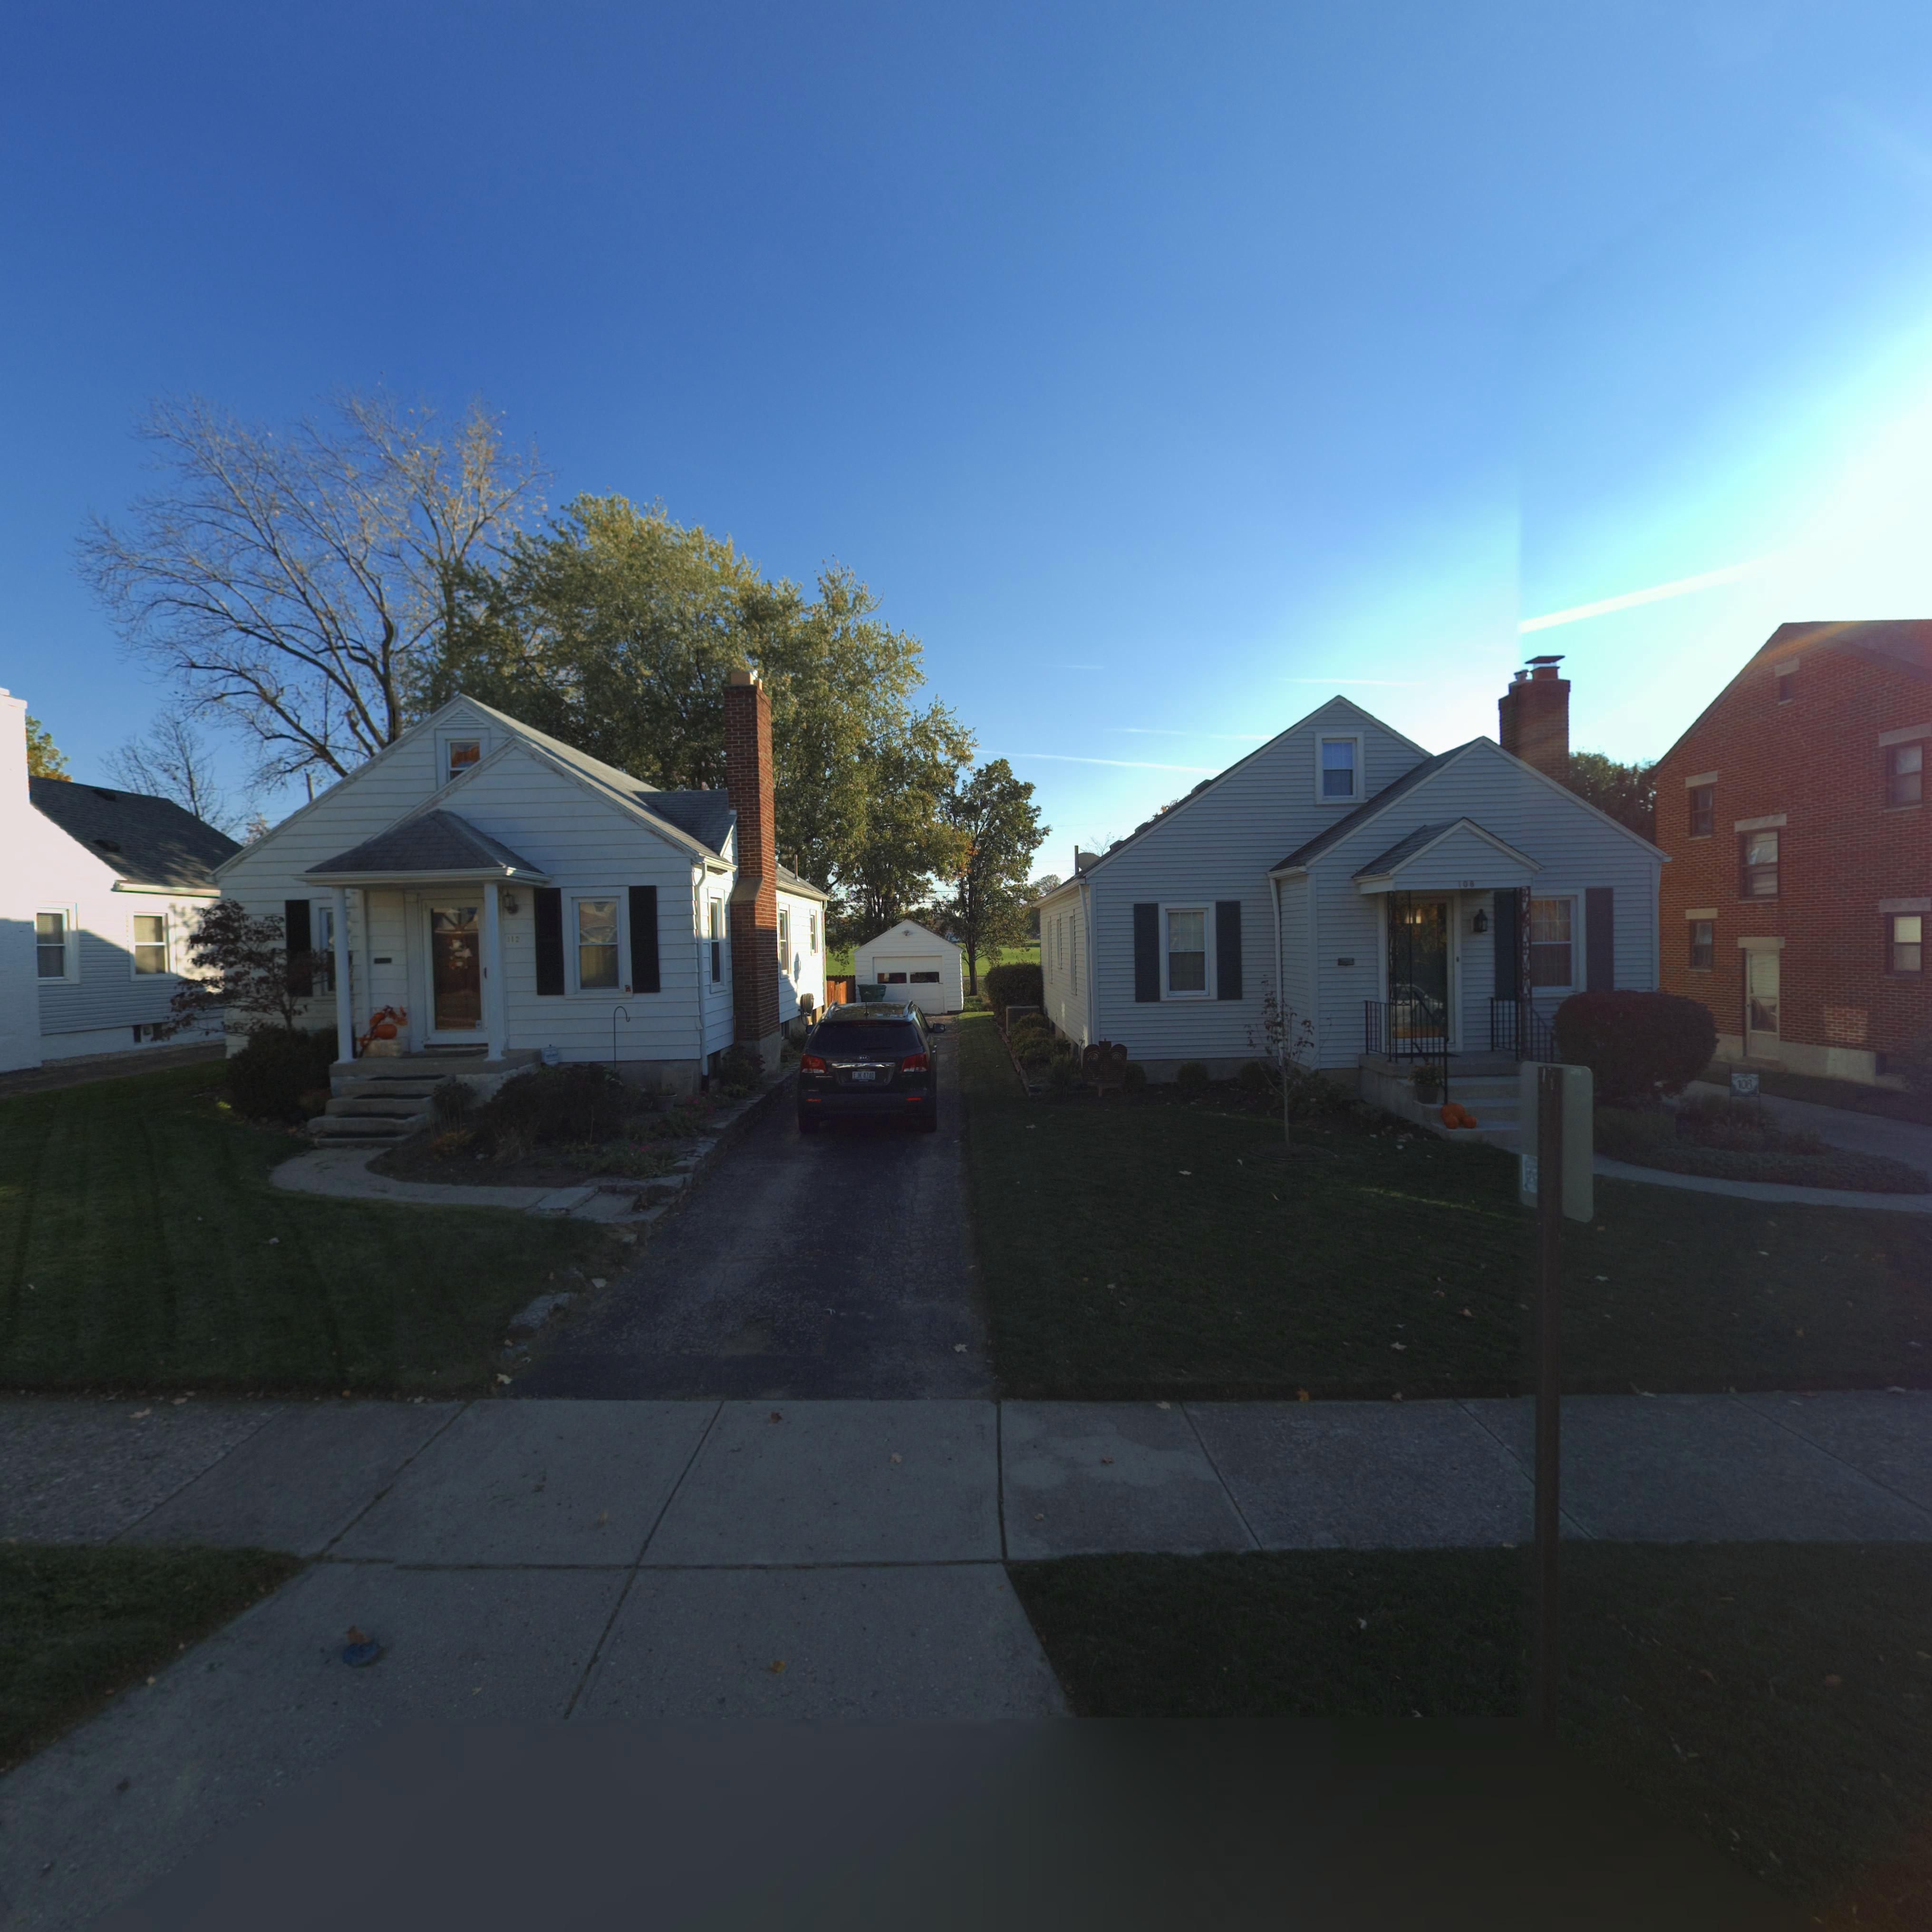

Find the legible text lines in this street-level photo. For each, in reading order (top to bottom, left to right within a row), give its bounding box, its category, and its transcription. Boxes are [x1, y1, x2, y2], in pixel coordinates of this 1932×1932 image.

[1457, 879, 1476, 889] StreetNumber: 108
[506, 935, 521, 944] StreetNumber: 112
[1736, 1077, 1754, 1092] StreetNumber: 108